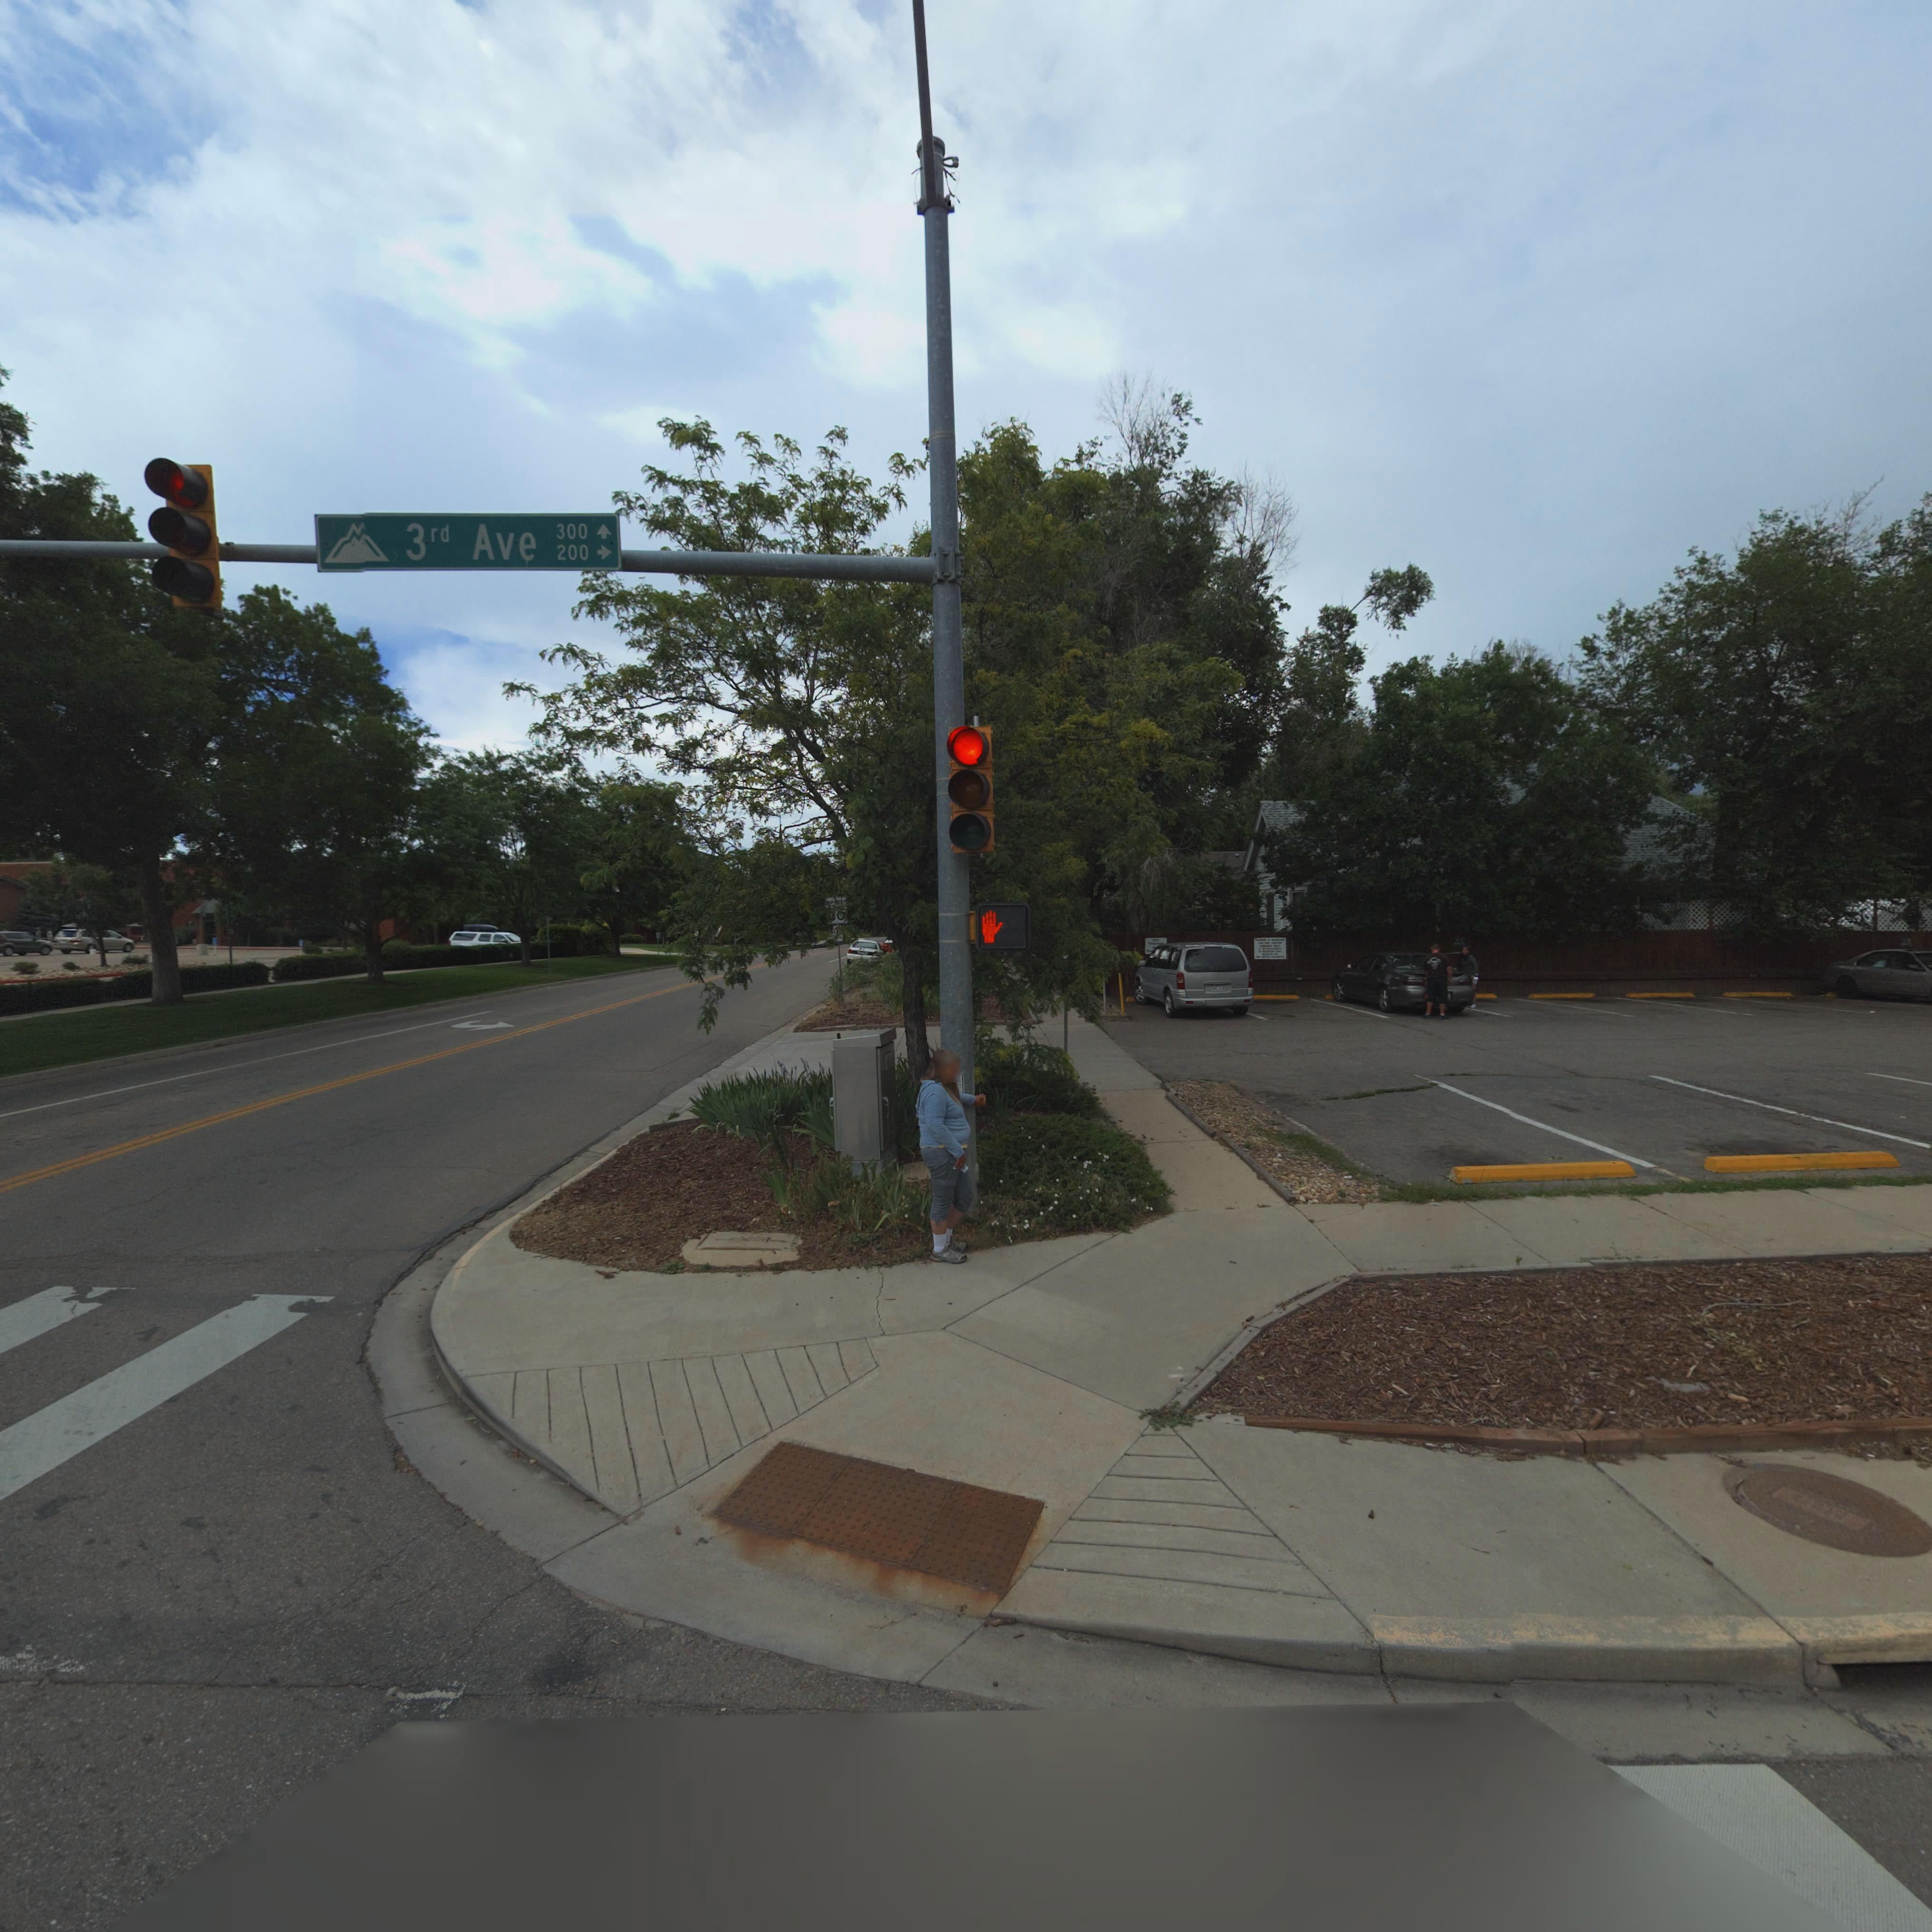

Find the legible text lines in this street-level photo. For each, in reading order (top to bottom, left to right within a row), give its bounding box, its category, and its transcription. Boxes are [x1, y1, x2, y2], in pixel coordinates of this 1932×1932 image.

[556, 523, 587, 540] StreetNumberRange: 300
[406, 523, 536, 560] StreetName: 3rd Ave
[557, 544, 612, 560] StreetNumberRange: 200->